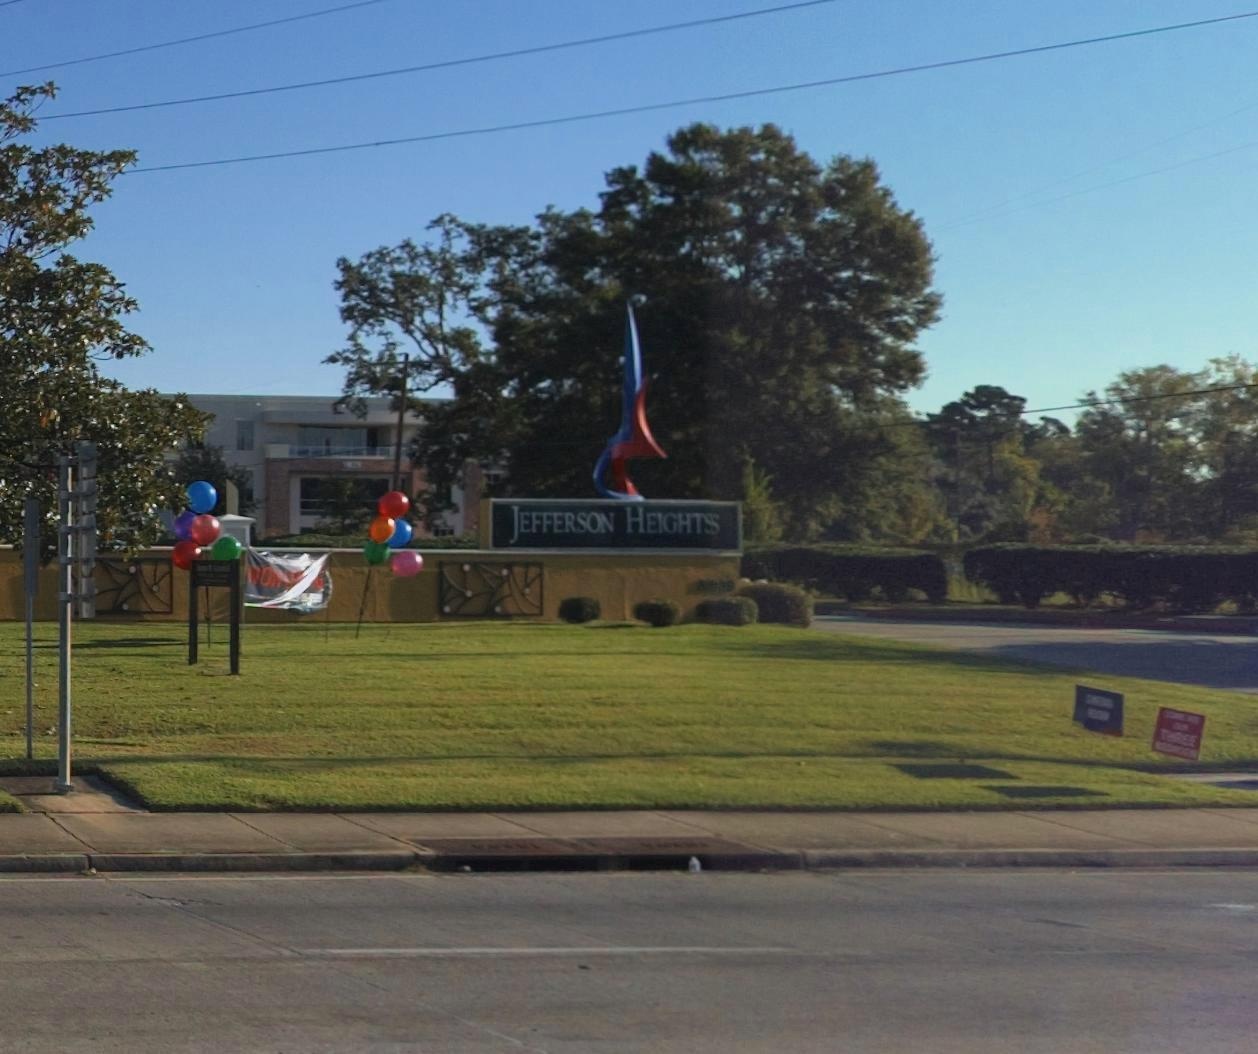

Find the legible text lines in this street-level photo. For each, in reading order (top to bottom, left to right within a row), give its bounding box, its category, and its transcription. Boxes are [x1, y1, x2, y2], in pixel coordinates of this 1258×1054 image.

[506, 503, 723, 546] BusinessName: JEFFERSON HEIGHT*
[256, 564, 277, 588] None: O